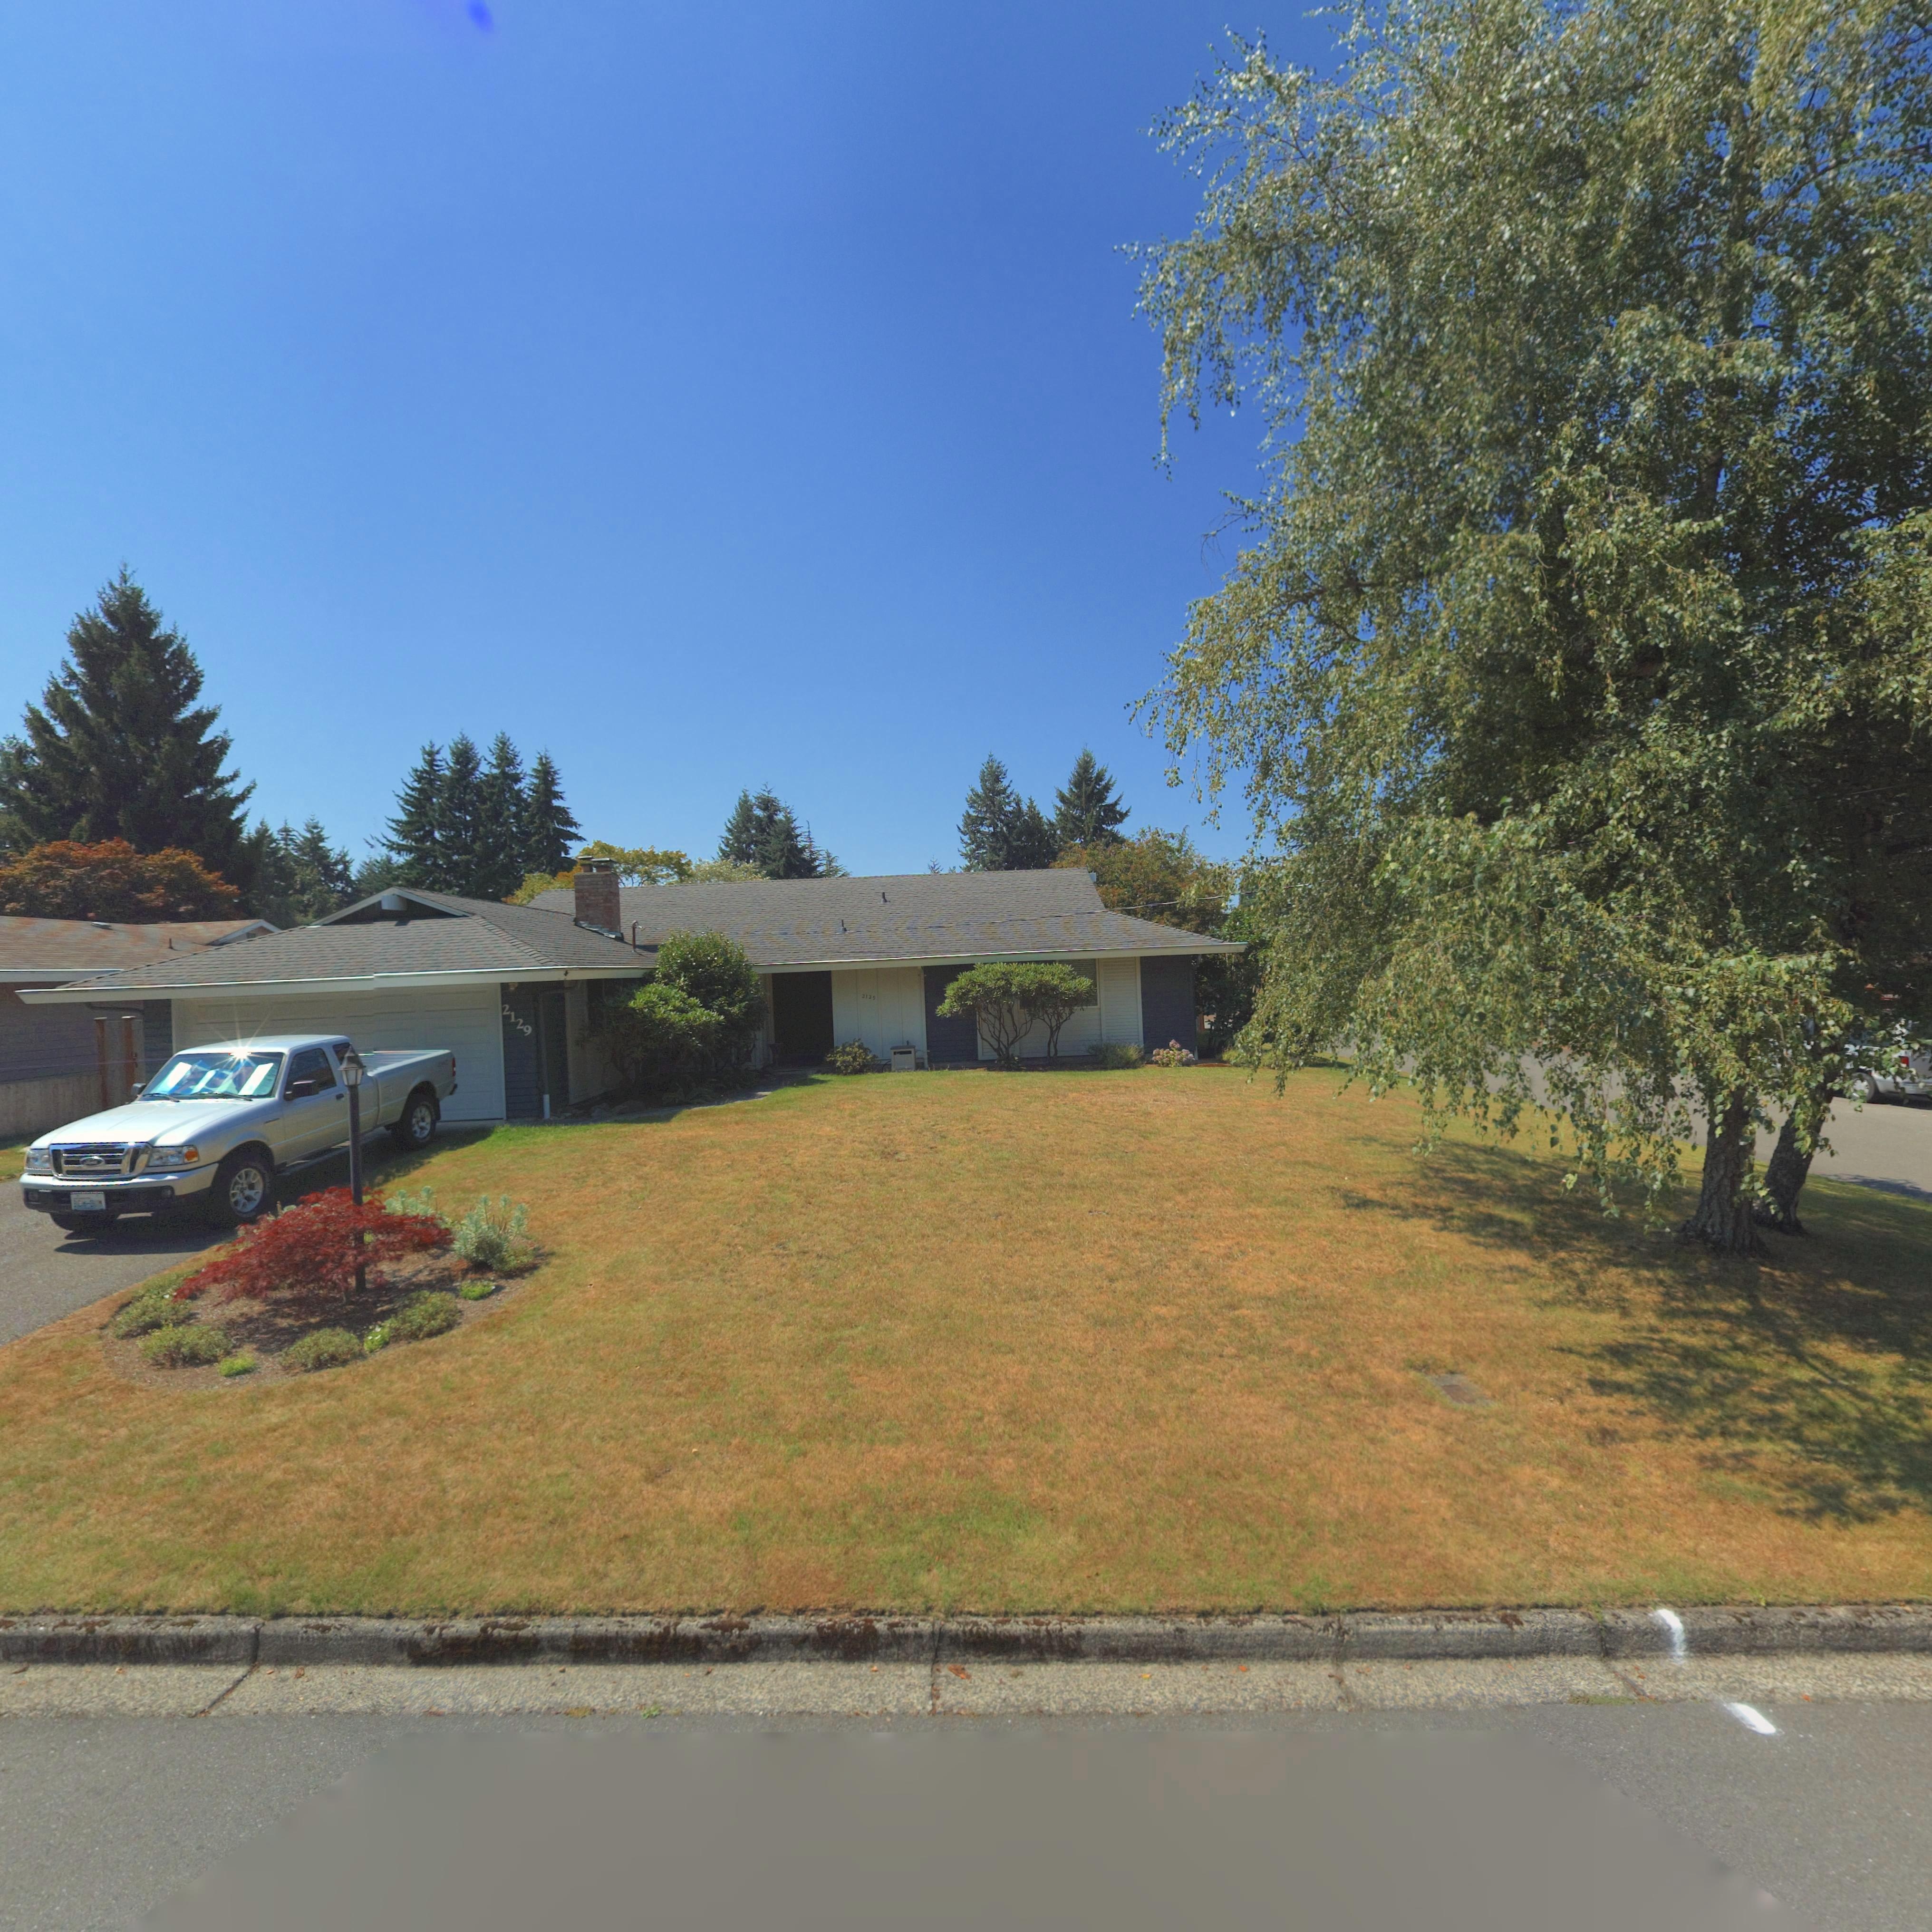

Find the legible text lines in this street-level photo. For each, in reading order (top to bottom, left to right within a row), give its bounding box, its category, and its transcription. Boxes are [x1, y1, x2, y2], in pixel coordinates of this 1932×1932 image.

[861, 993, 876, 1001] StreetNumber: 212*
[502, 1004, 533, 1037] StreetNumber: 2129